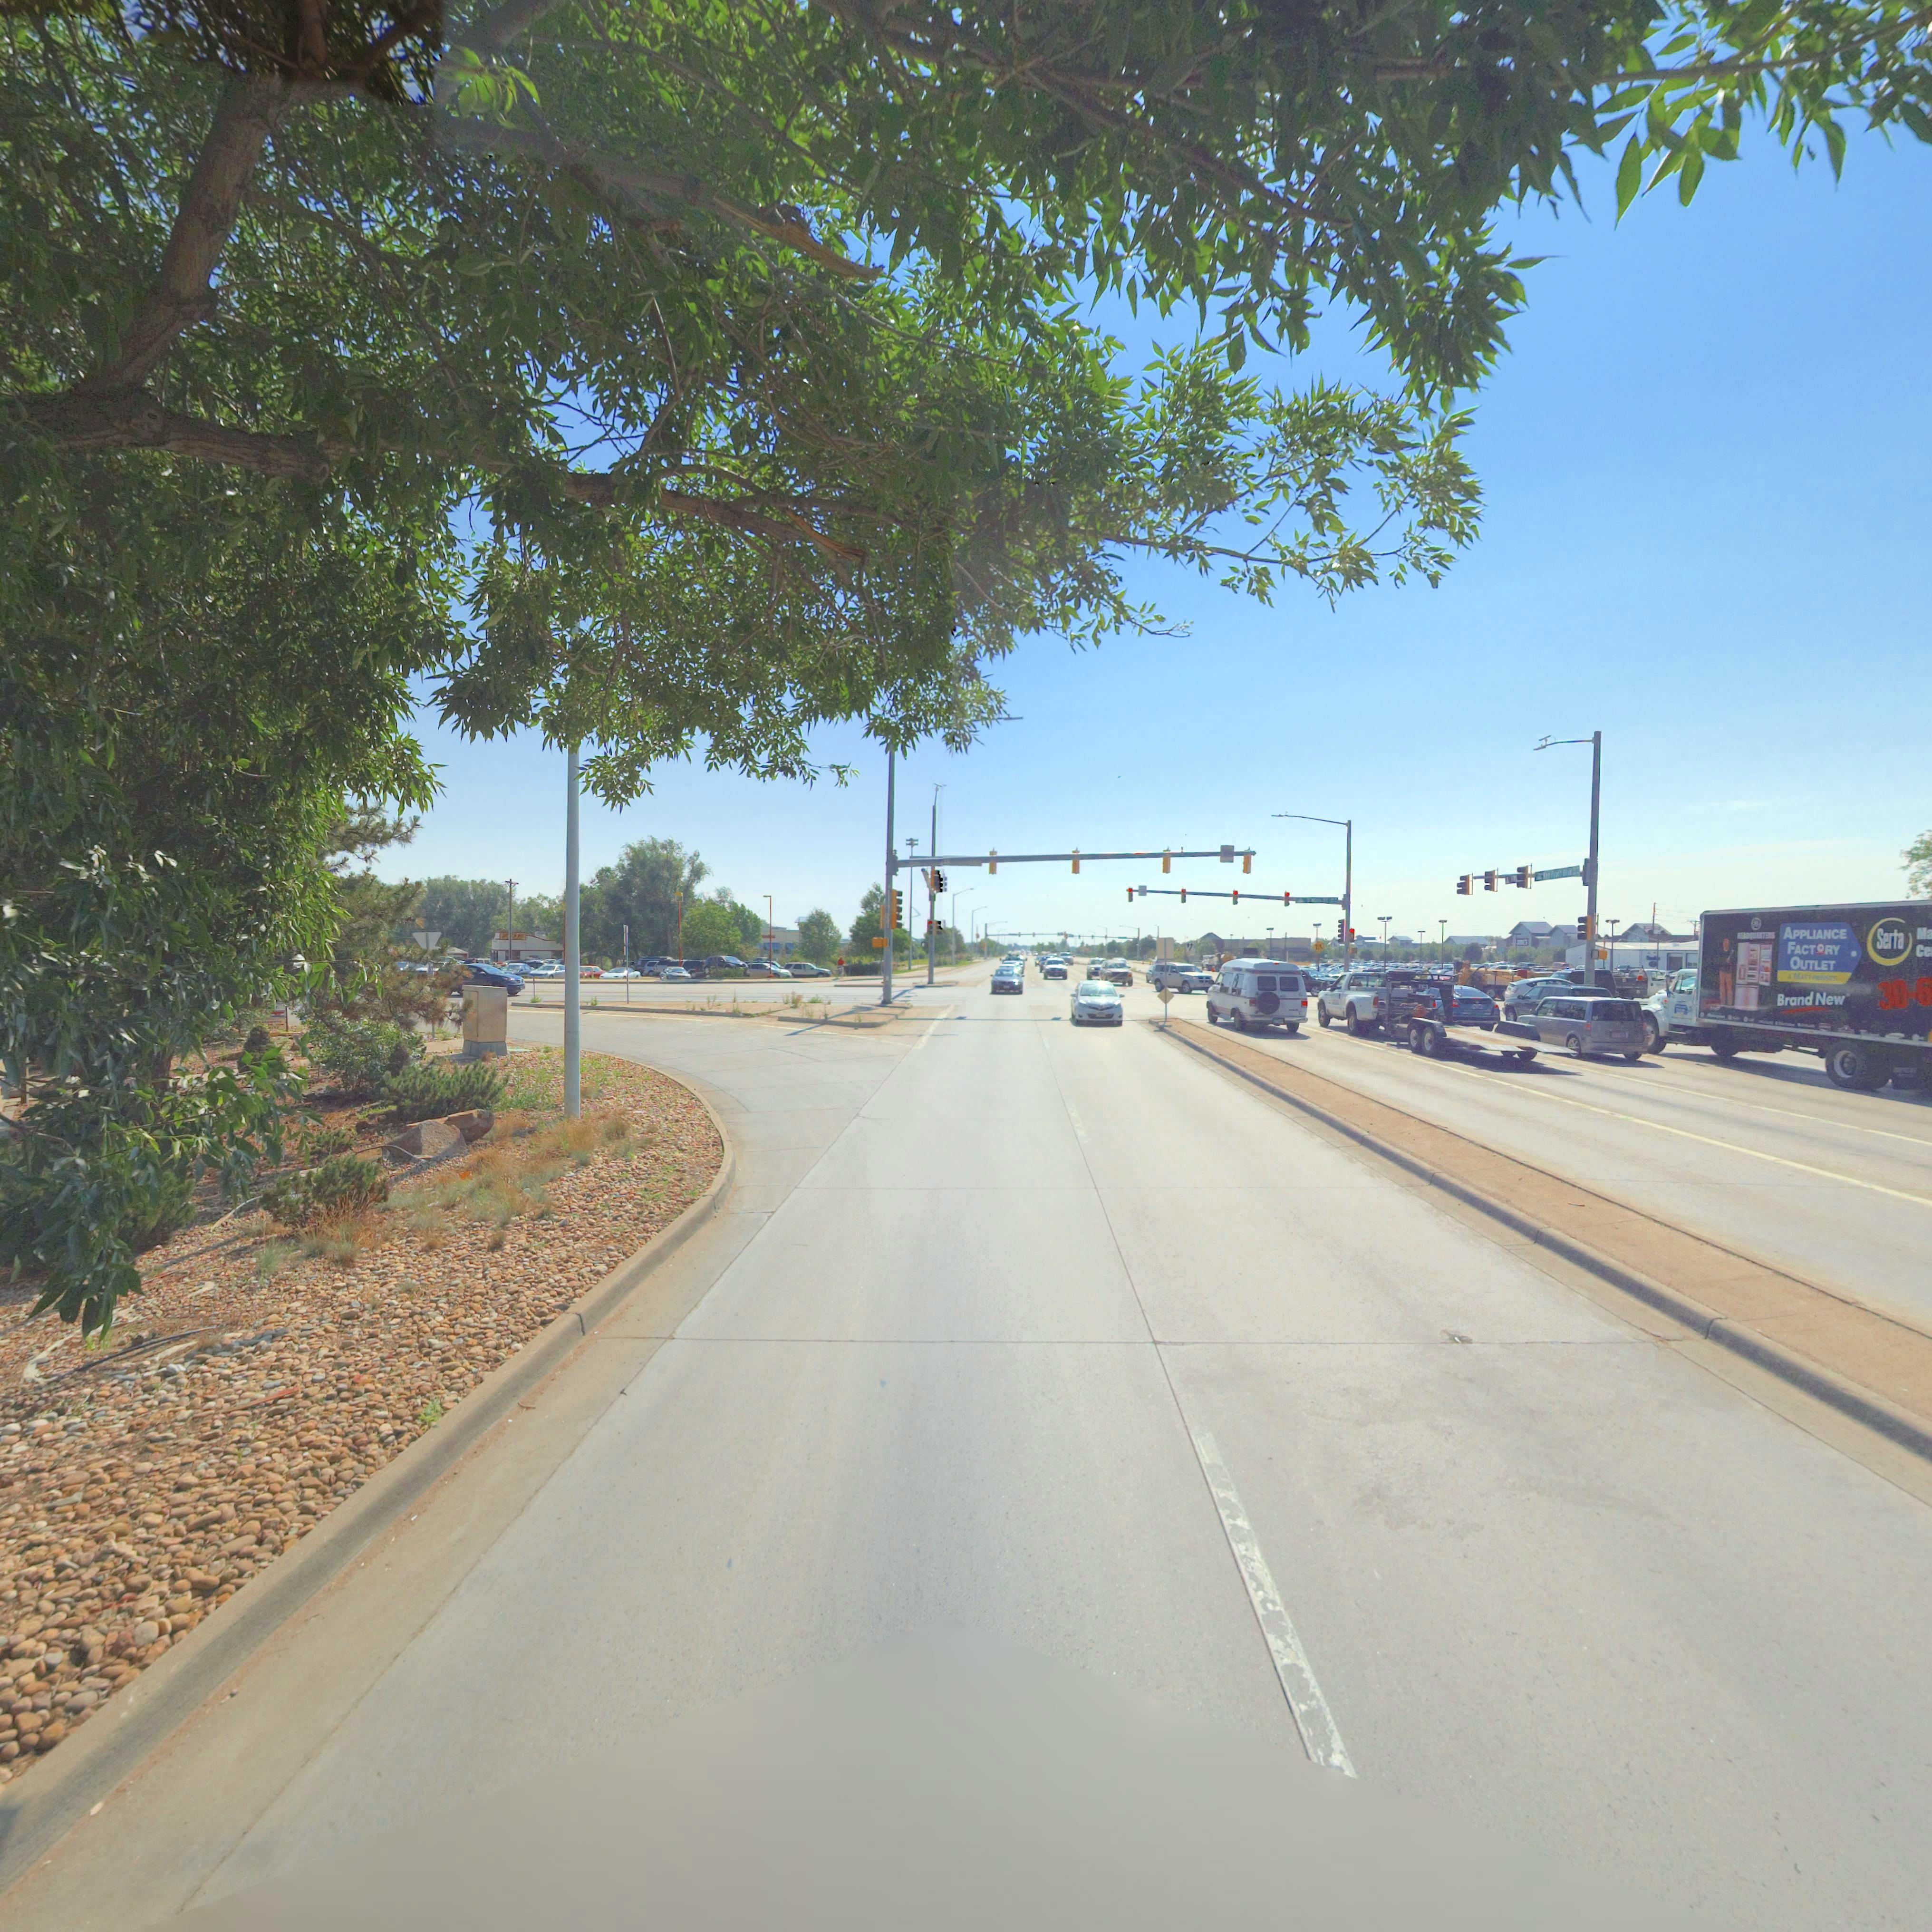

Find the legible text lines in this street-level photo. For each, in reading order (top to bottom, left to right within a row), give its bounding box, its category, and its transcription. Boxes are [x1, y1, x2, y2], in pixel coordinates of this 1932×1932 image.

[1543, 868, 1572, 879] StreetName: K*n Pratt Blvd
[1306, 897, 1329, 902] StreetName: S M*** St
[1515, 939, 1527, 945] BusinessName: *O*ES